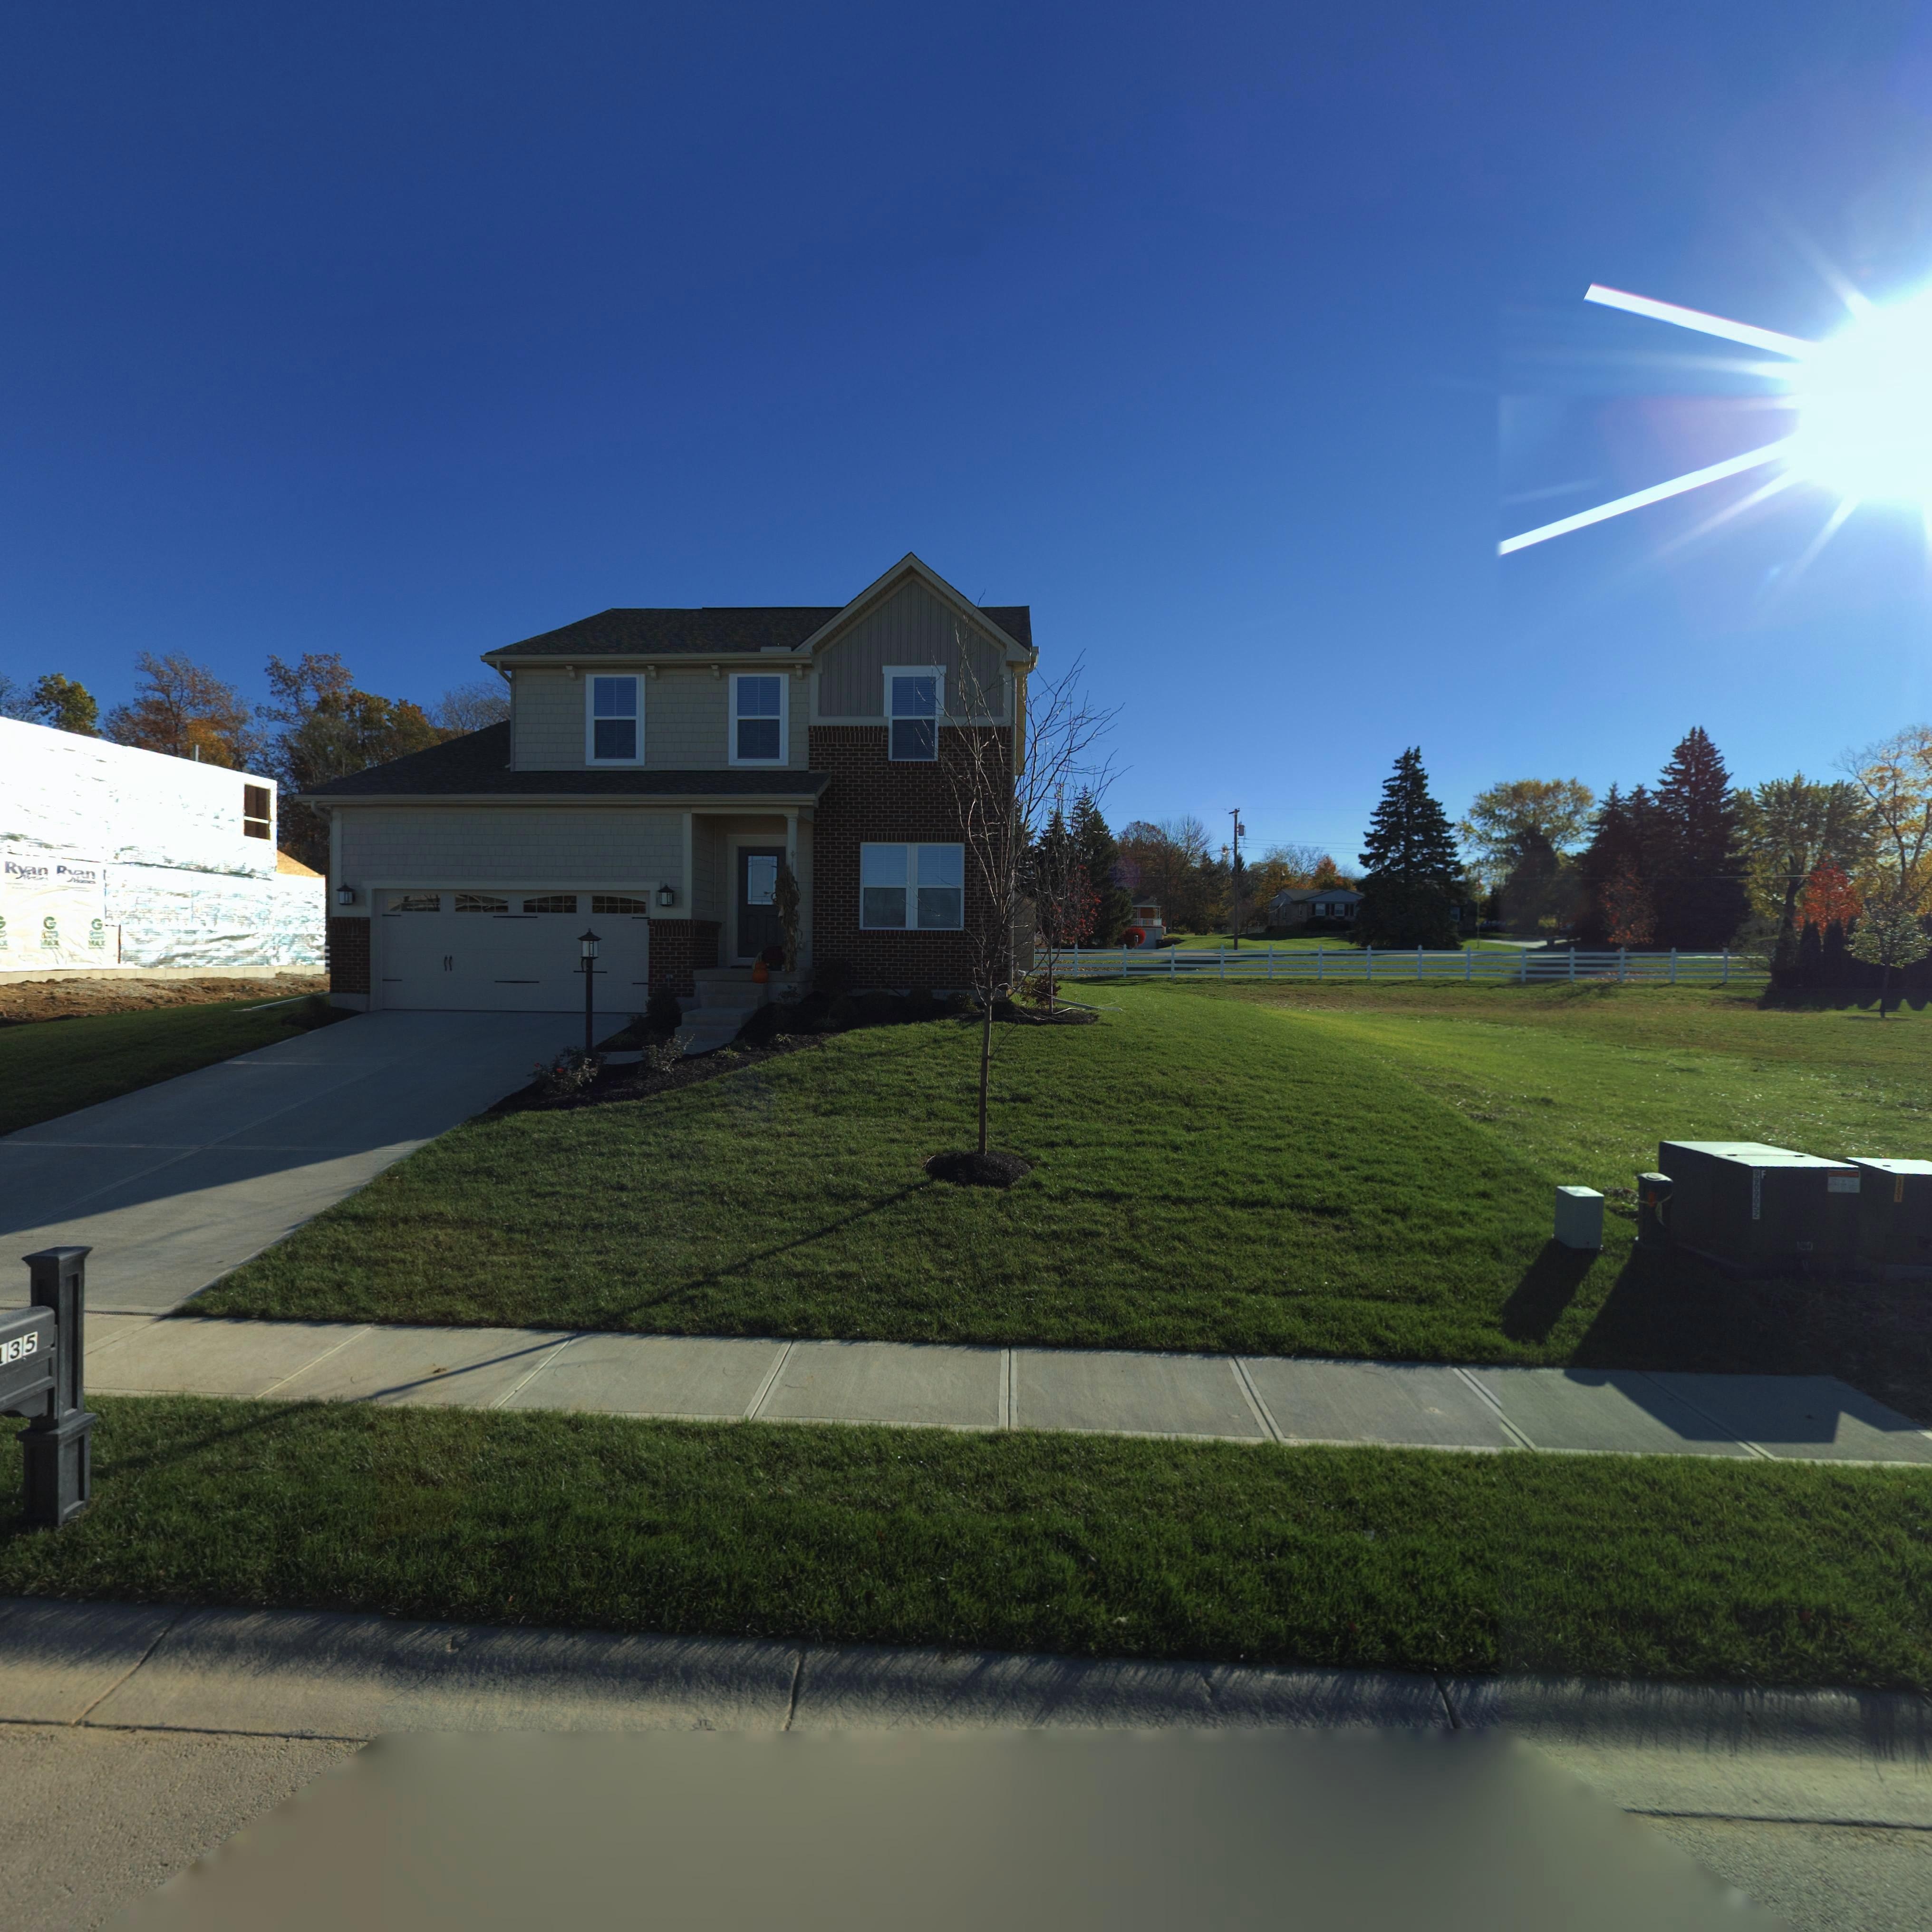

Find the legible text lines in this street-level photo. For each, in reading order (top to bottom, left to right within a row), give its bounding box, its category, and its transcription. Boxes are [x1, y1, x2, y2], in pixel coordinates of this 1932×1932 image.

[8, 1332, 38, 1362] StreetNumber: 35